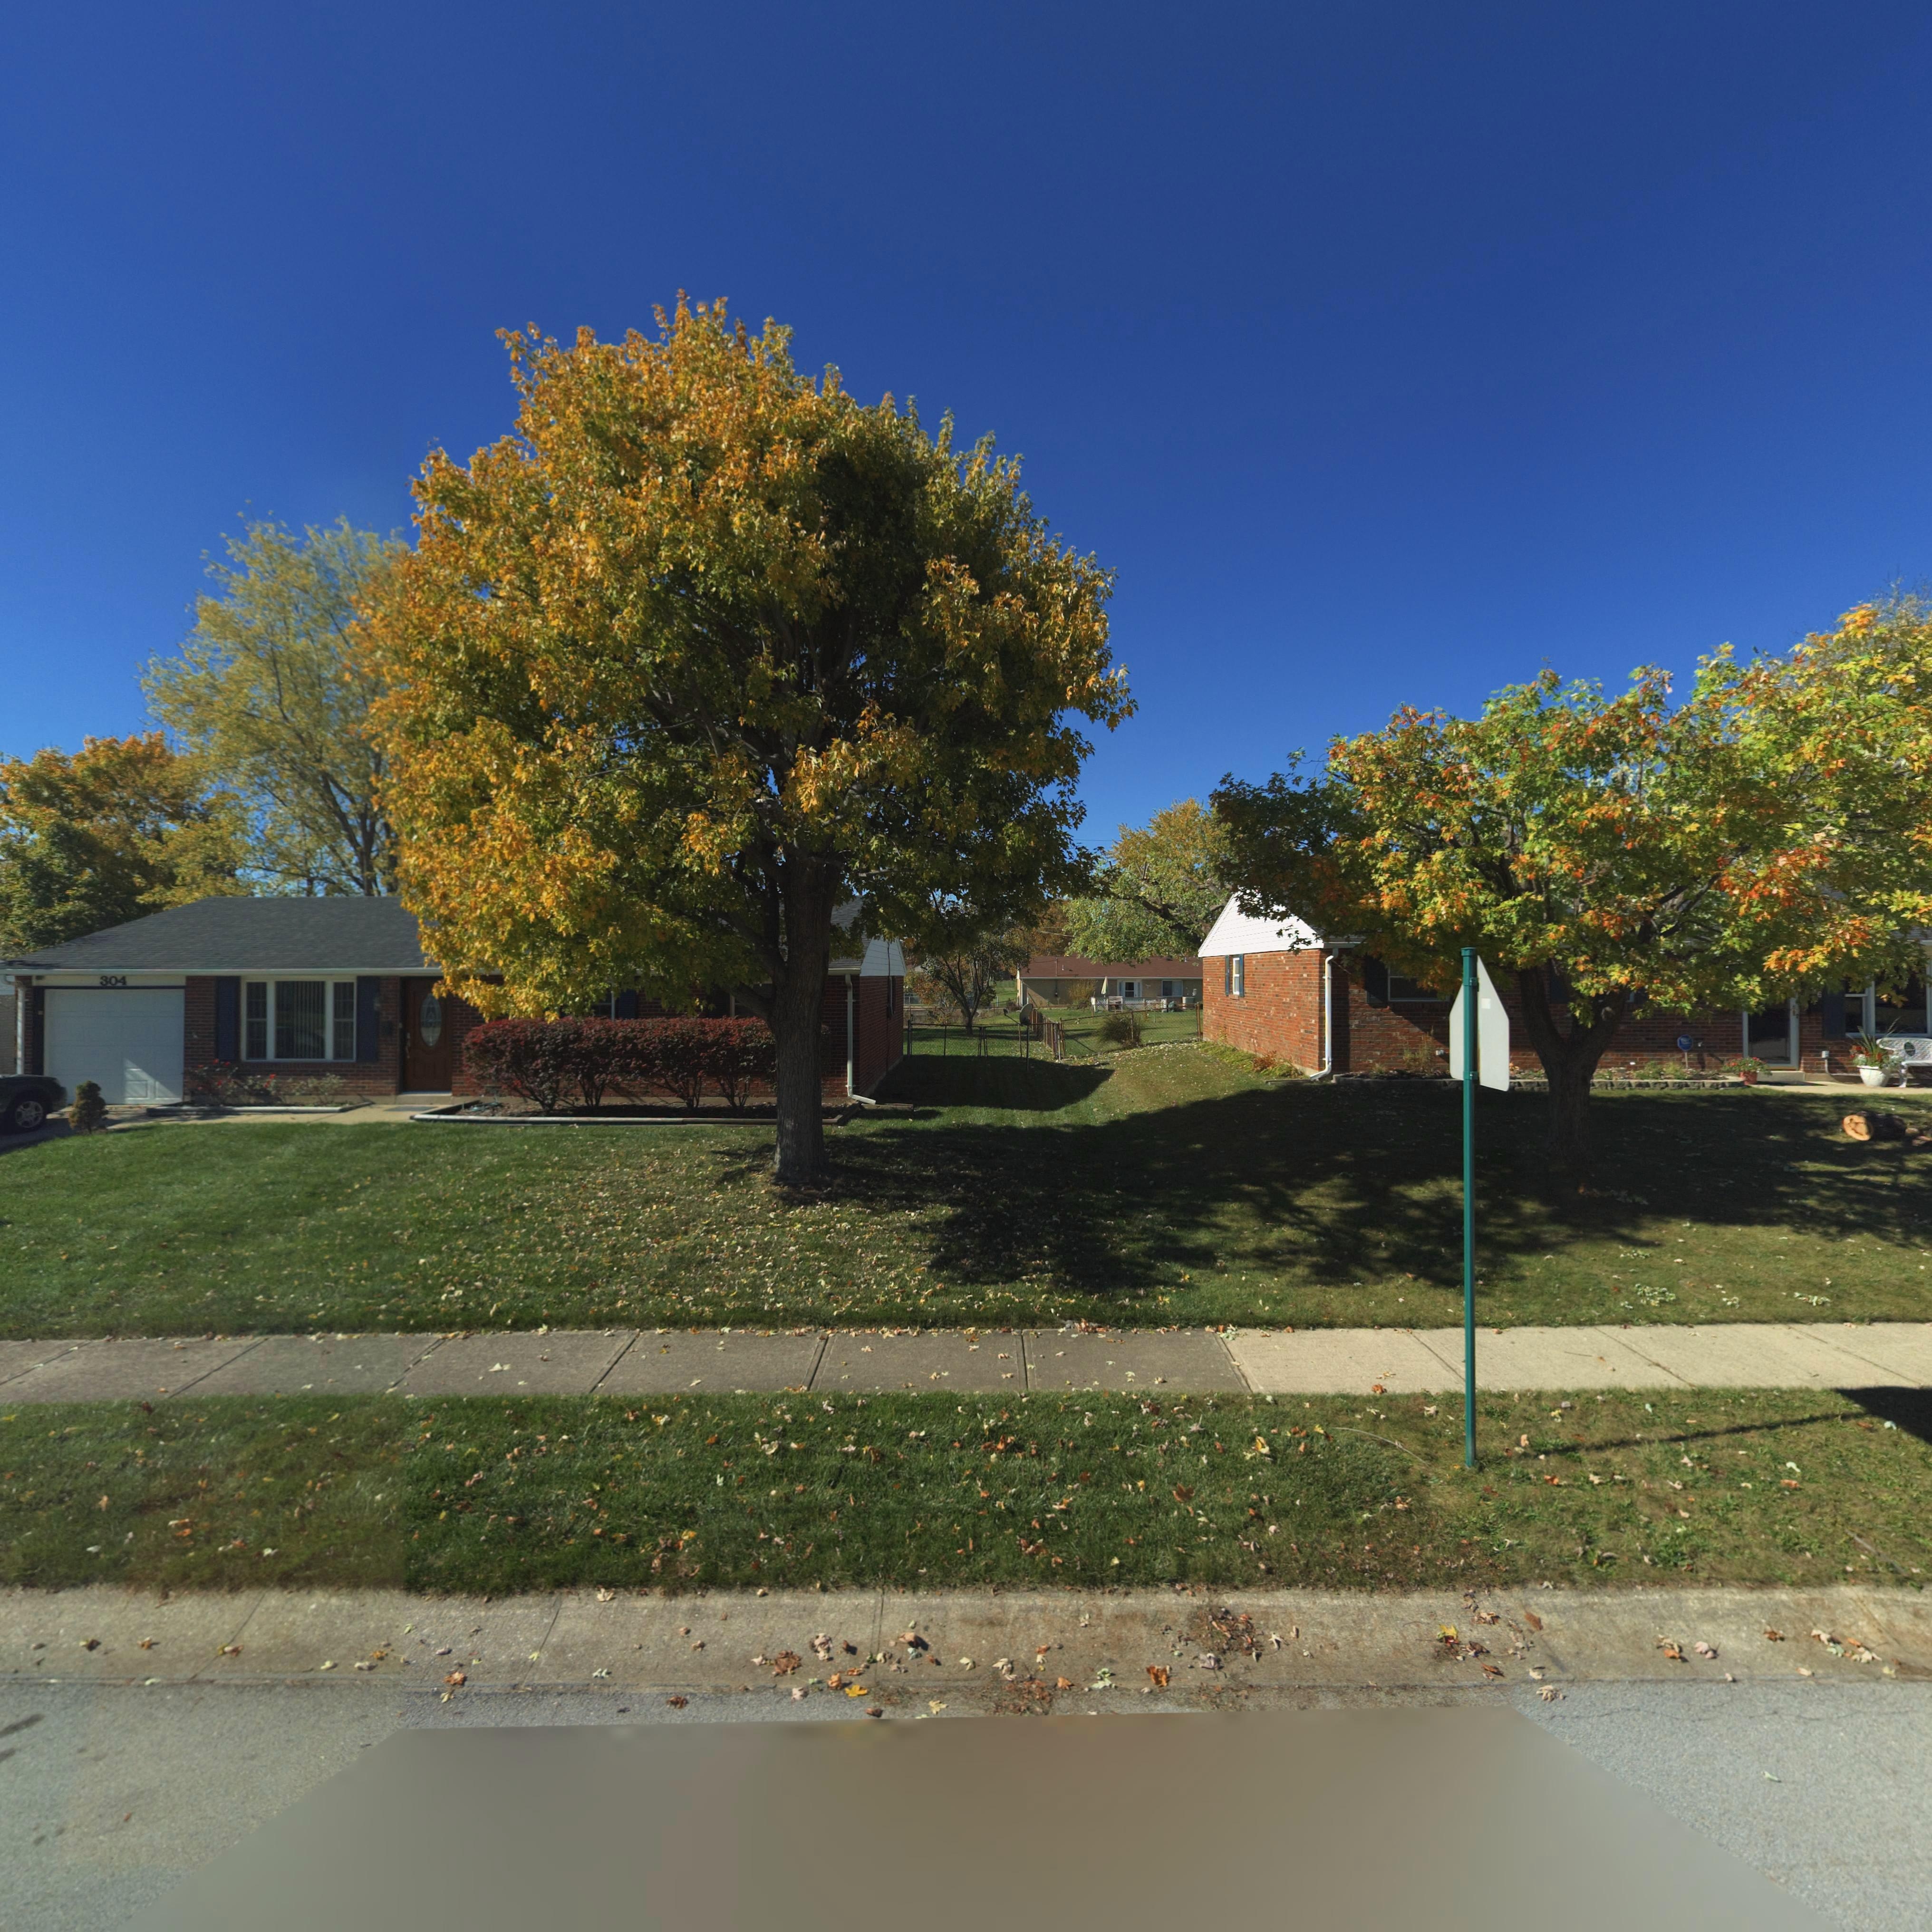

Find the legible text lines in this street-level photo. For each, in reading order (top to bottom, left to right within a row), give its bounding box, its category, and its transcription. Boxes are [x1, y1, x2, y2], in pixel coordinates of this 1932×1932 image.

[99, 974, 126, 986] StreetNumber: 304